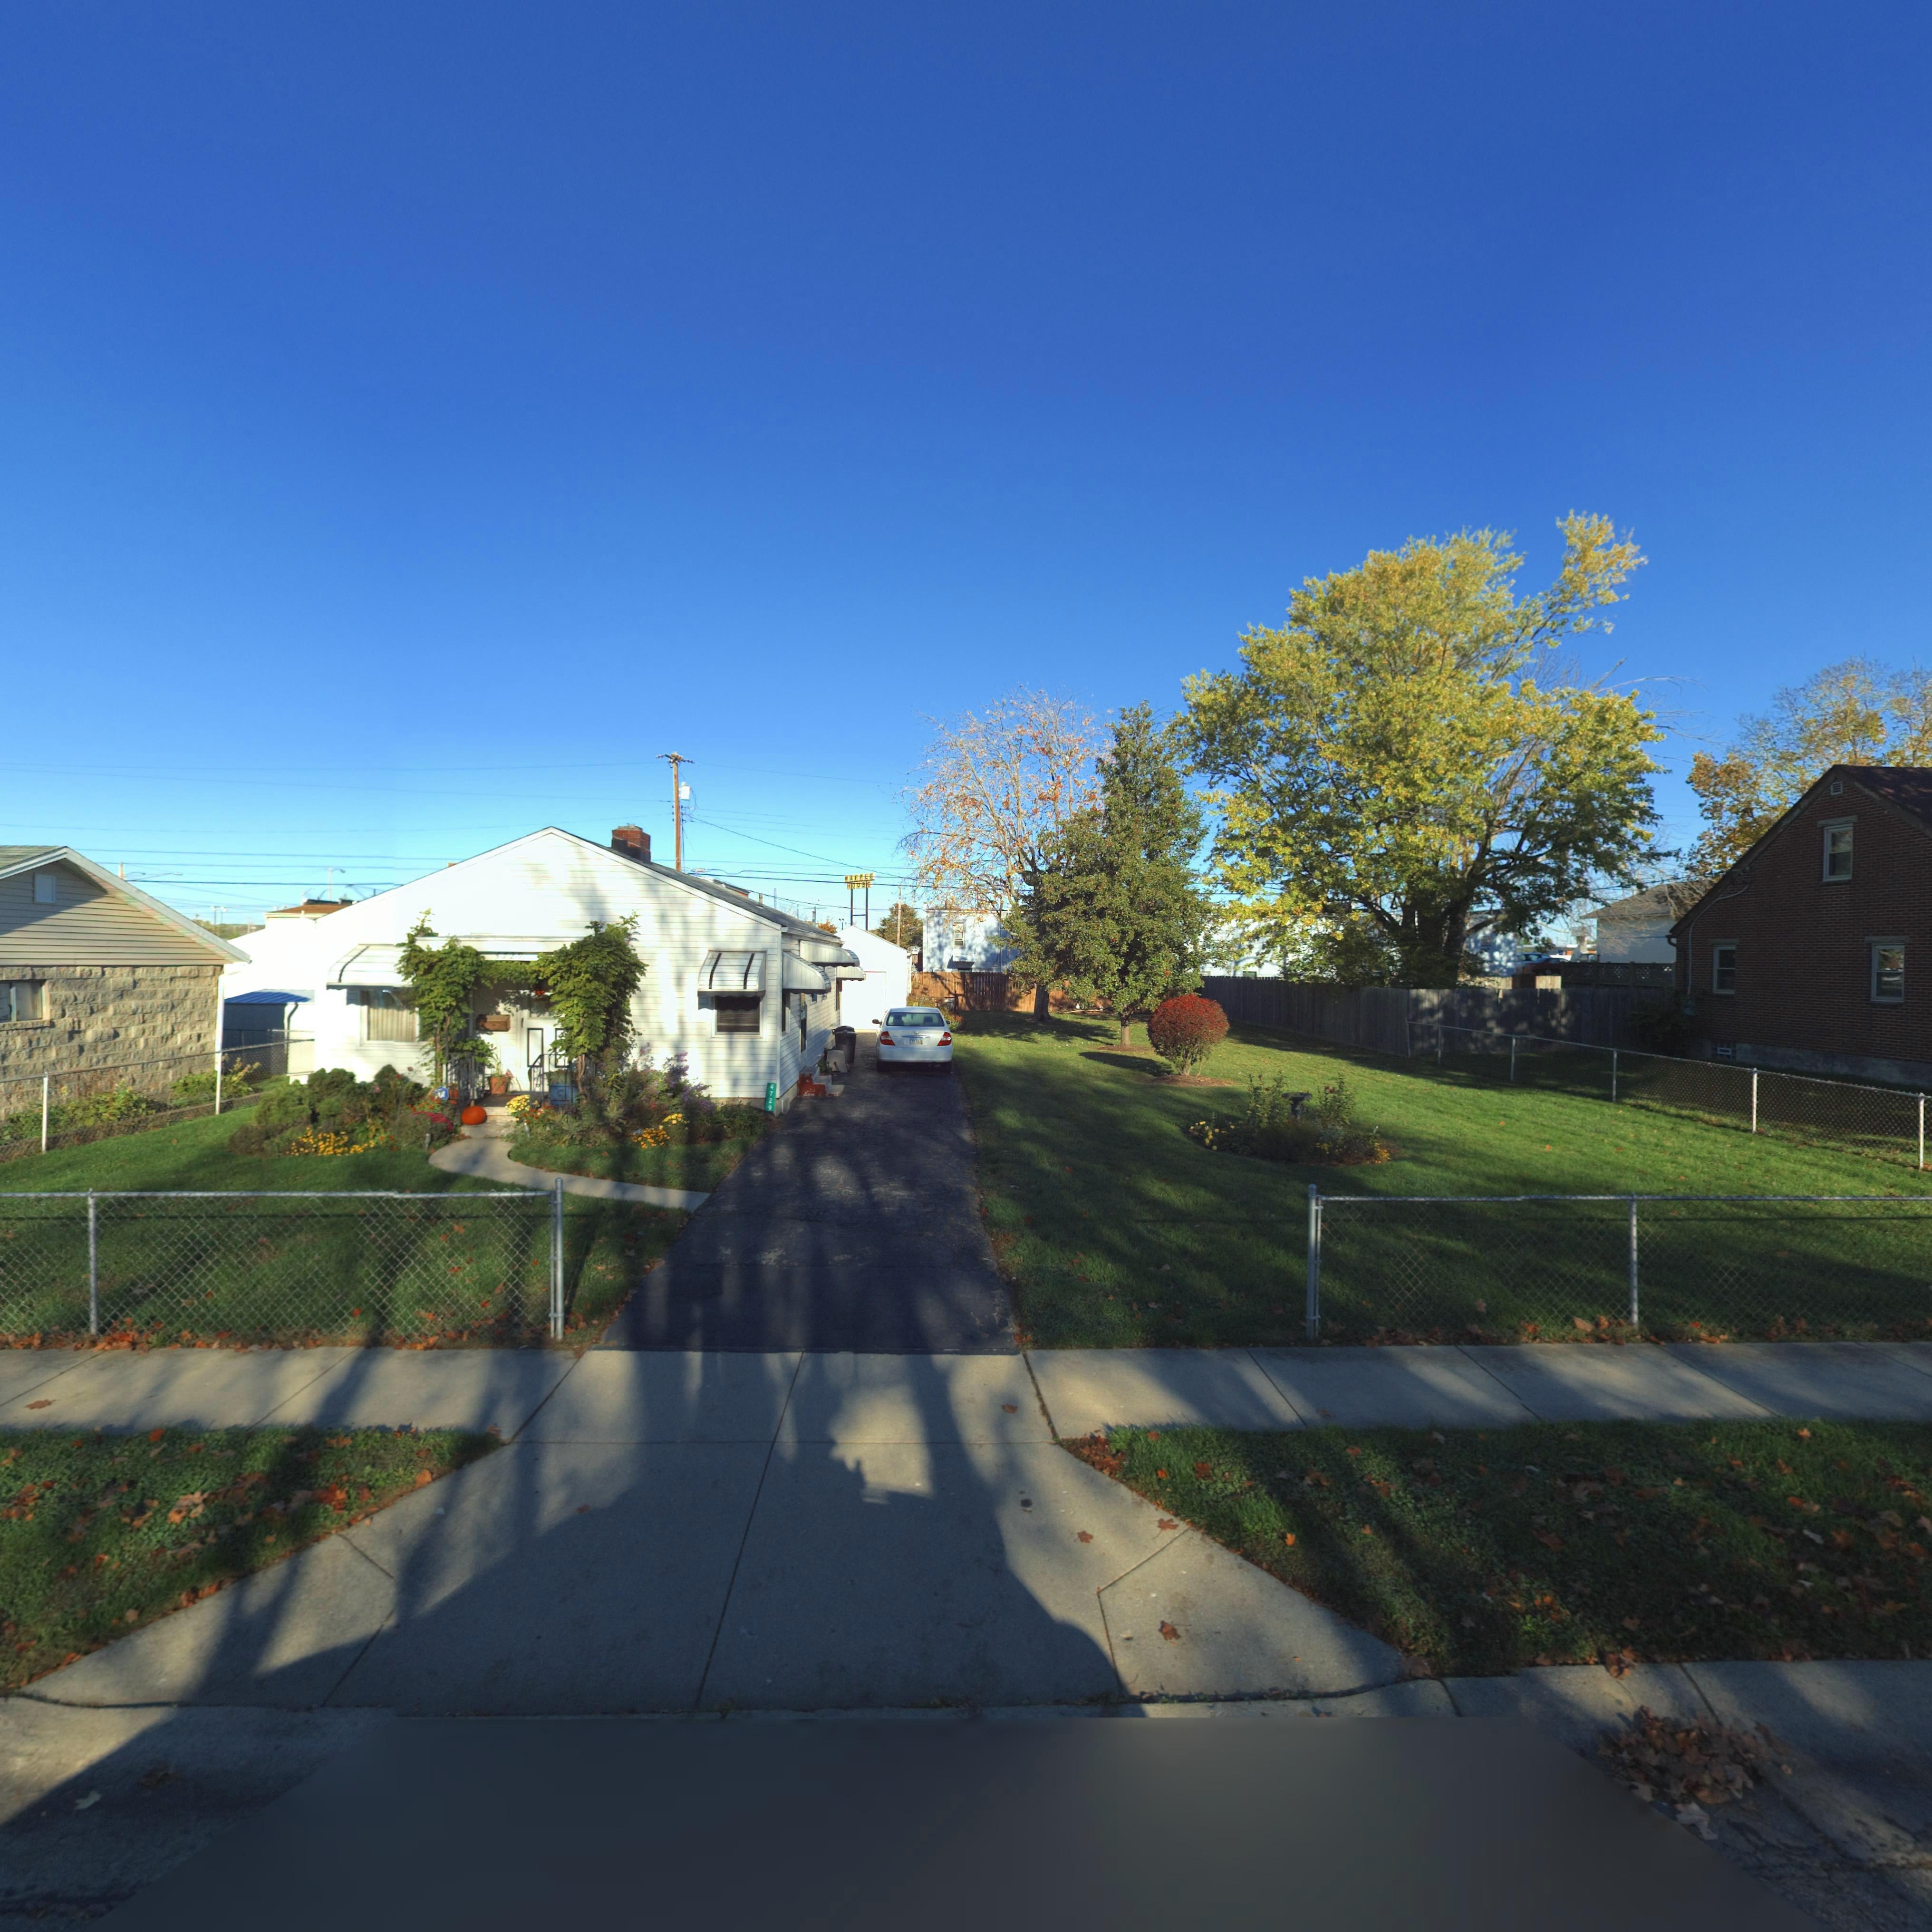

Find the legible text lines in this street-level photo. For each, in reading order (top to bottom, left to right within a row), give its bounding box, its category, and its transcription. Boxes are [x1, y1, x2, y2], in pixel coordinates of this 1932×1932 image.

[767, 1082, 774, 1111] StreetNumber: 4729